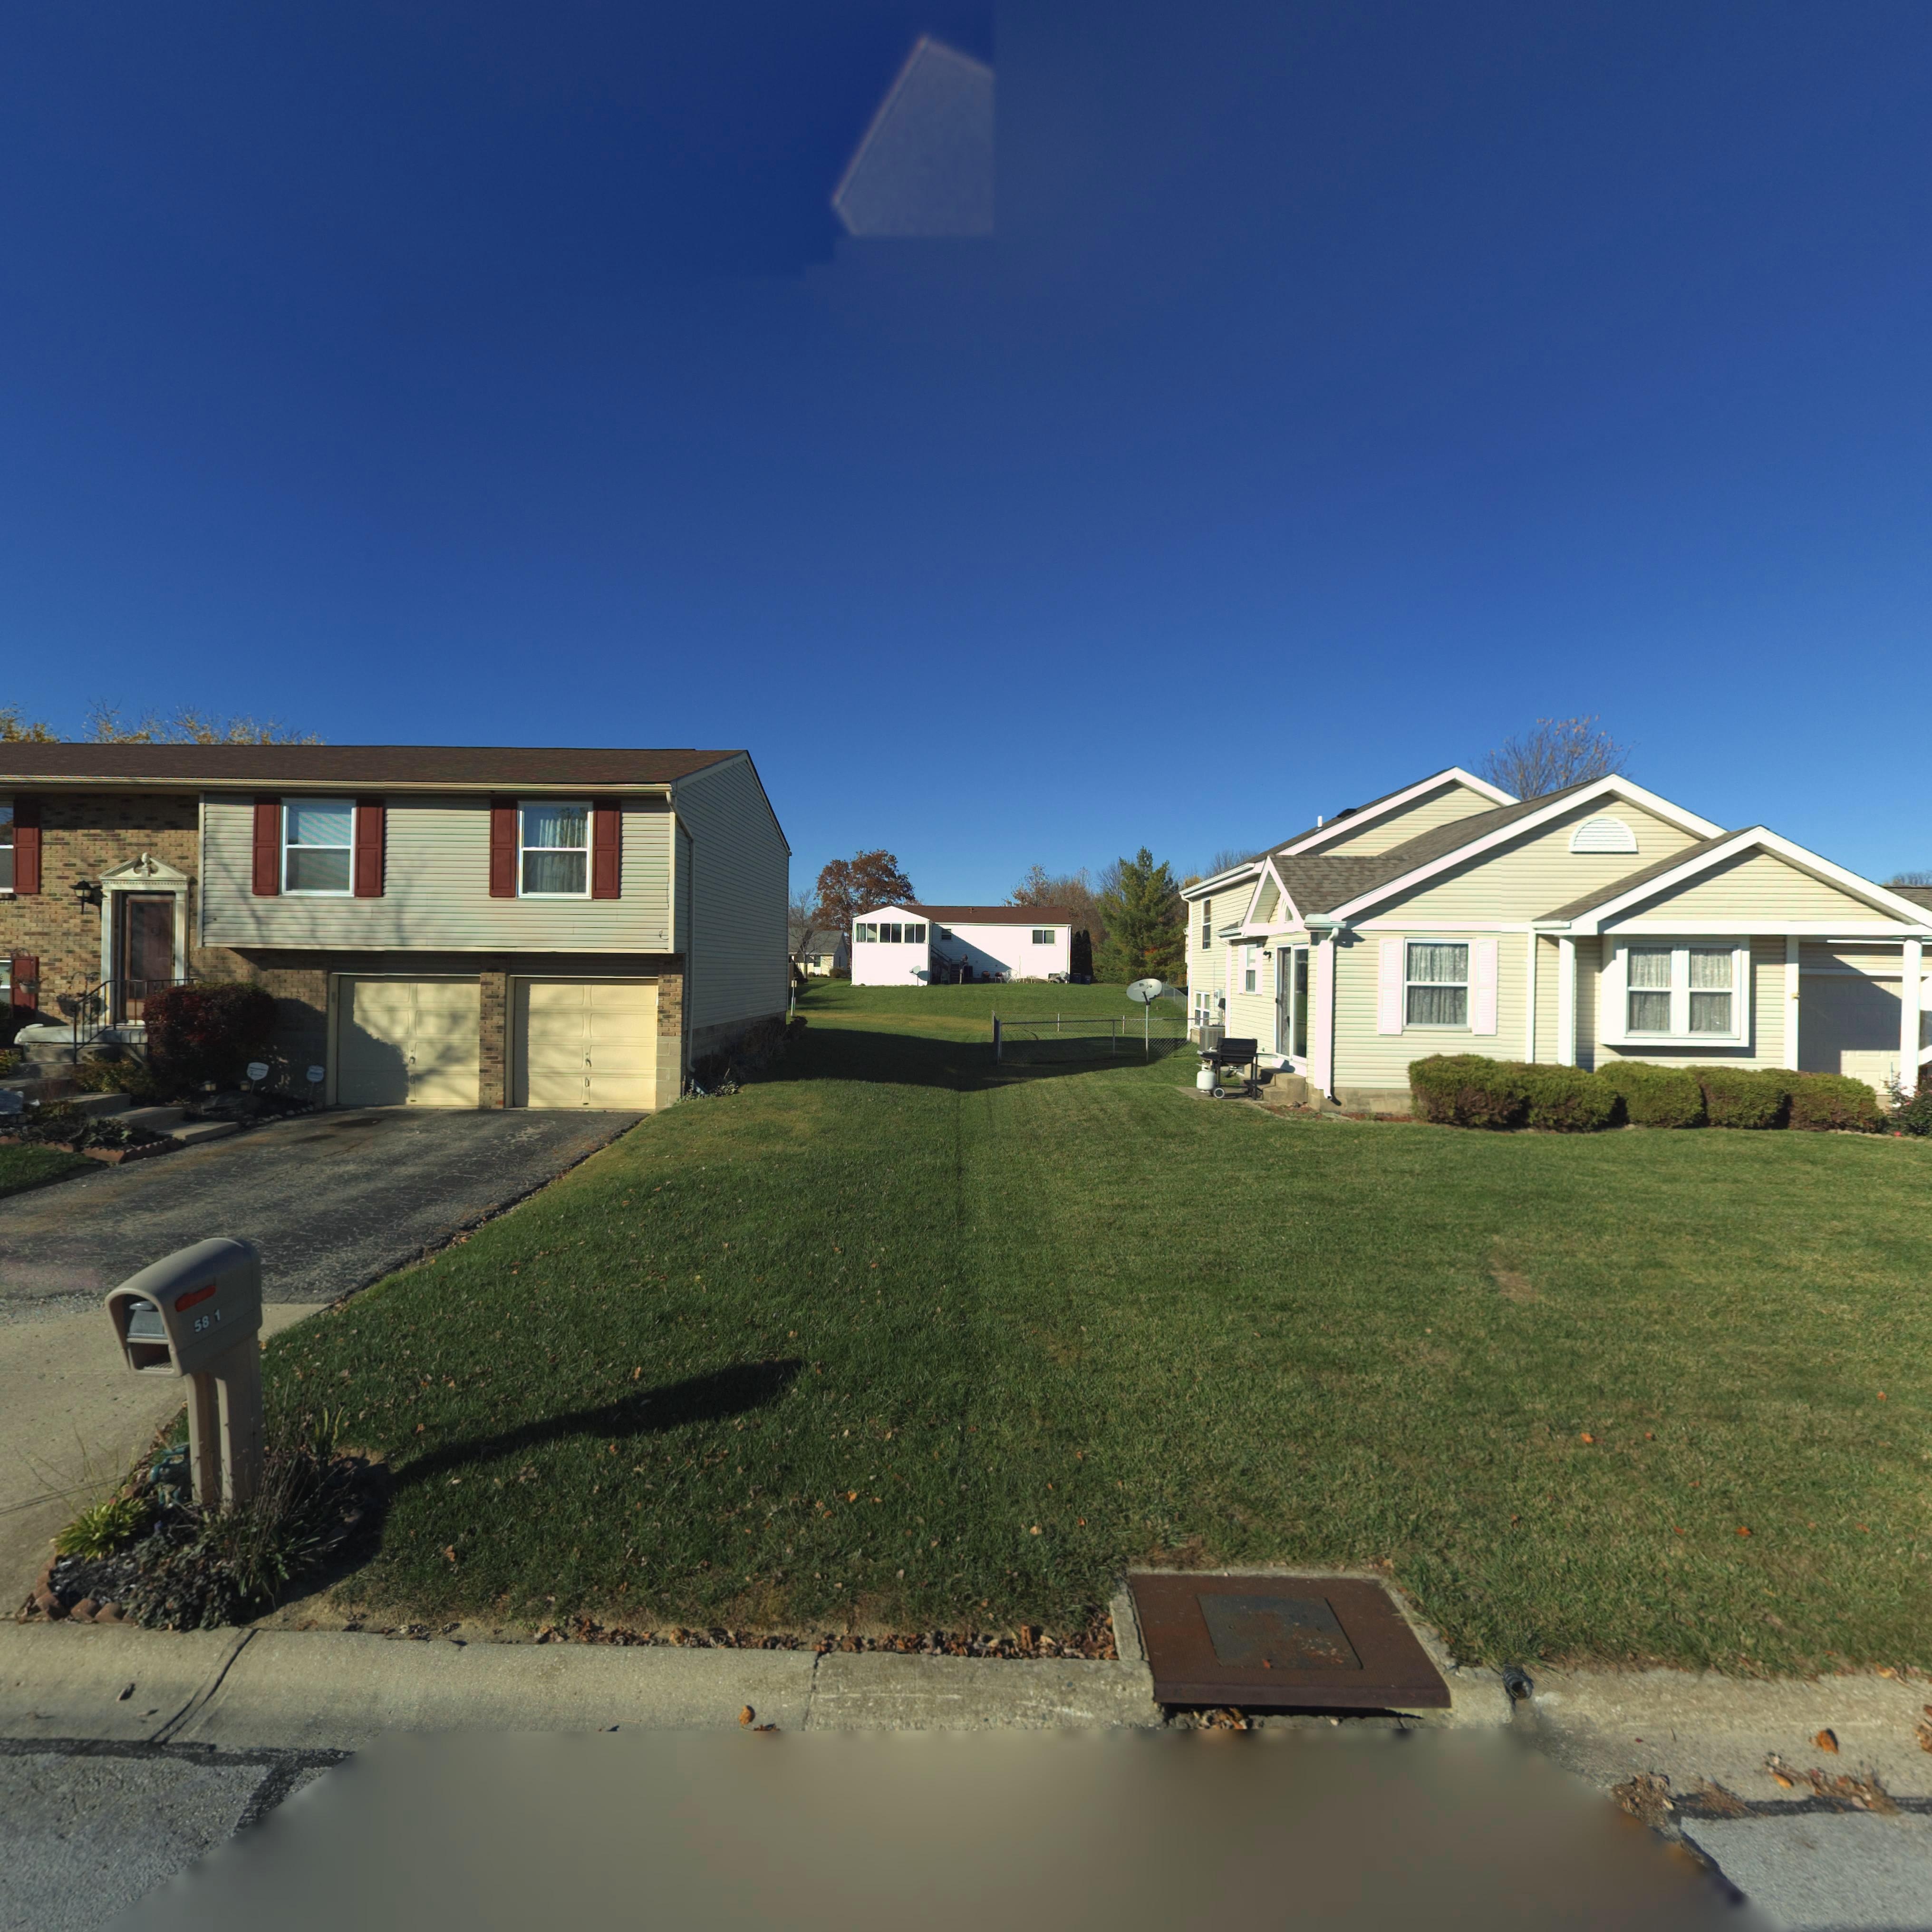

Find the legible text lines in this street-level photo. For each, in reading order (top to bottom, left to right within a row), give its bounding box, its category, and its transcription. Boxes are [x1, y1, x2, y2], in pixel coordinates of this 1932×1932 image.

[193, 1306, 222, 1334] StreetNumber: 58*1